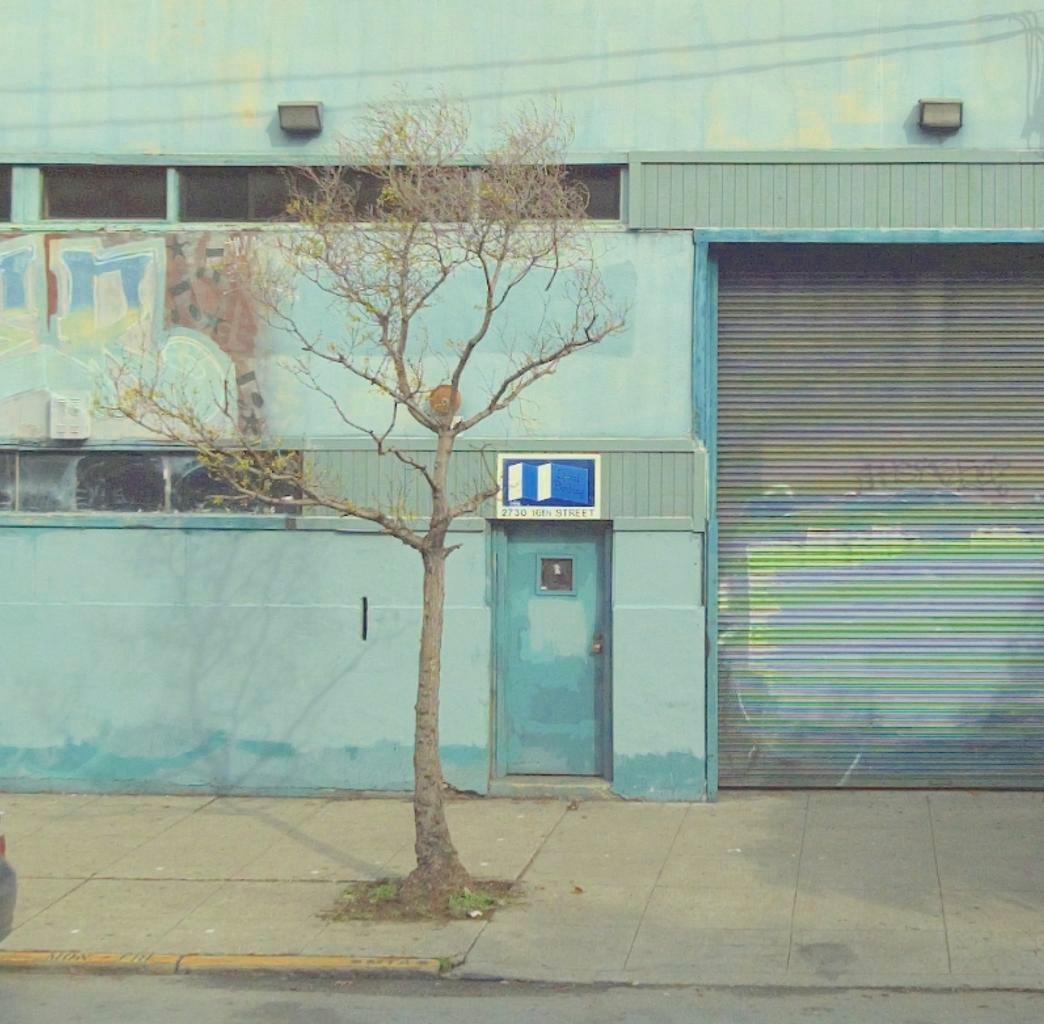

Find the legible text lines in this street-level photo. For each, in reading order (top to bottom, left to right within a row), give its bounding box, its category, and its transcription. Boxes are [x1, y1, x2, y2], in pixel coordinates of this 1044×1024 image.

[500, 507, 528, 518] StreetNumber: 2730
[530, 507, 594, 517] StreetName: 16th STREET